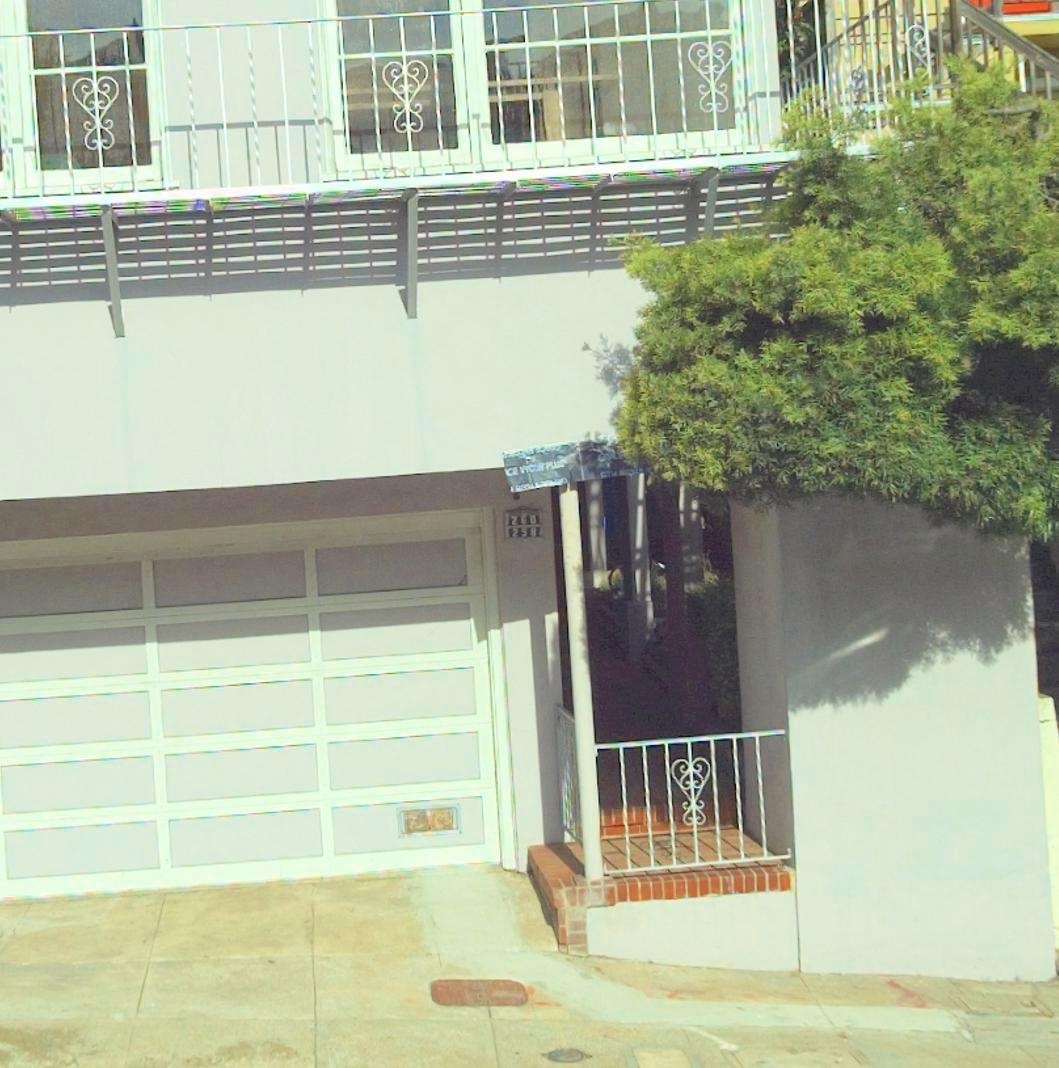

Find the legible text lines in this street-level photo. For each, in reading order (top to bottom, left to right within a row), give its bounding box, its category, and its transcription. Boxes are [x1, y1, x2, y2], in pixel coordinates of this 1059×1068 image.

[510, 515, 537, 525] StreetNumber: 260
[511, 527, 537, 537] StreetNumber: 258